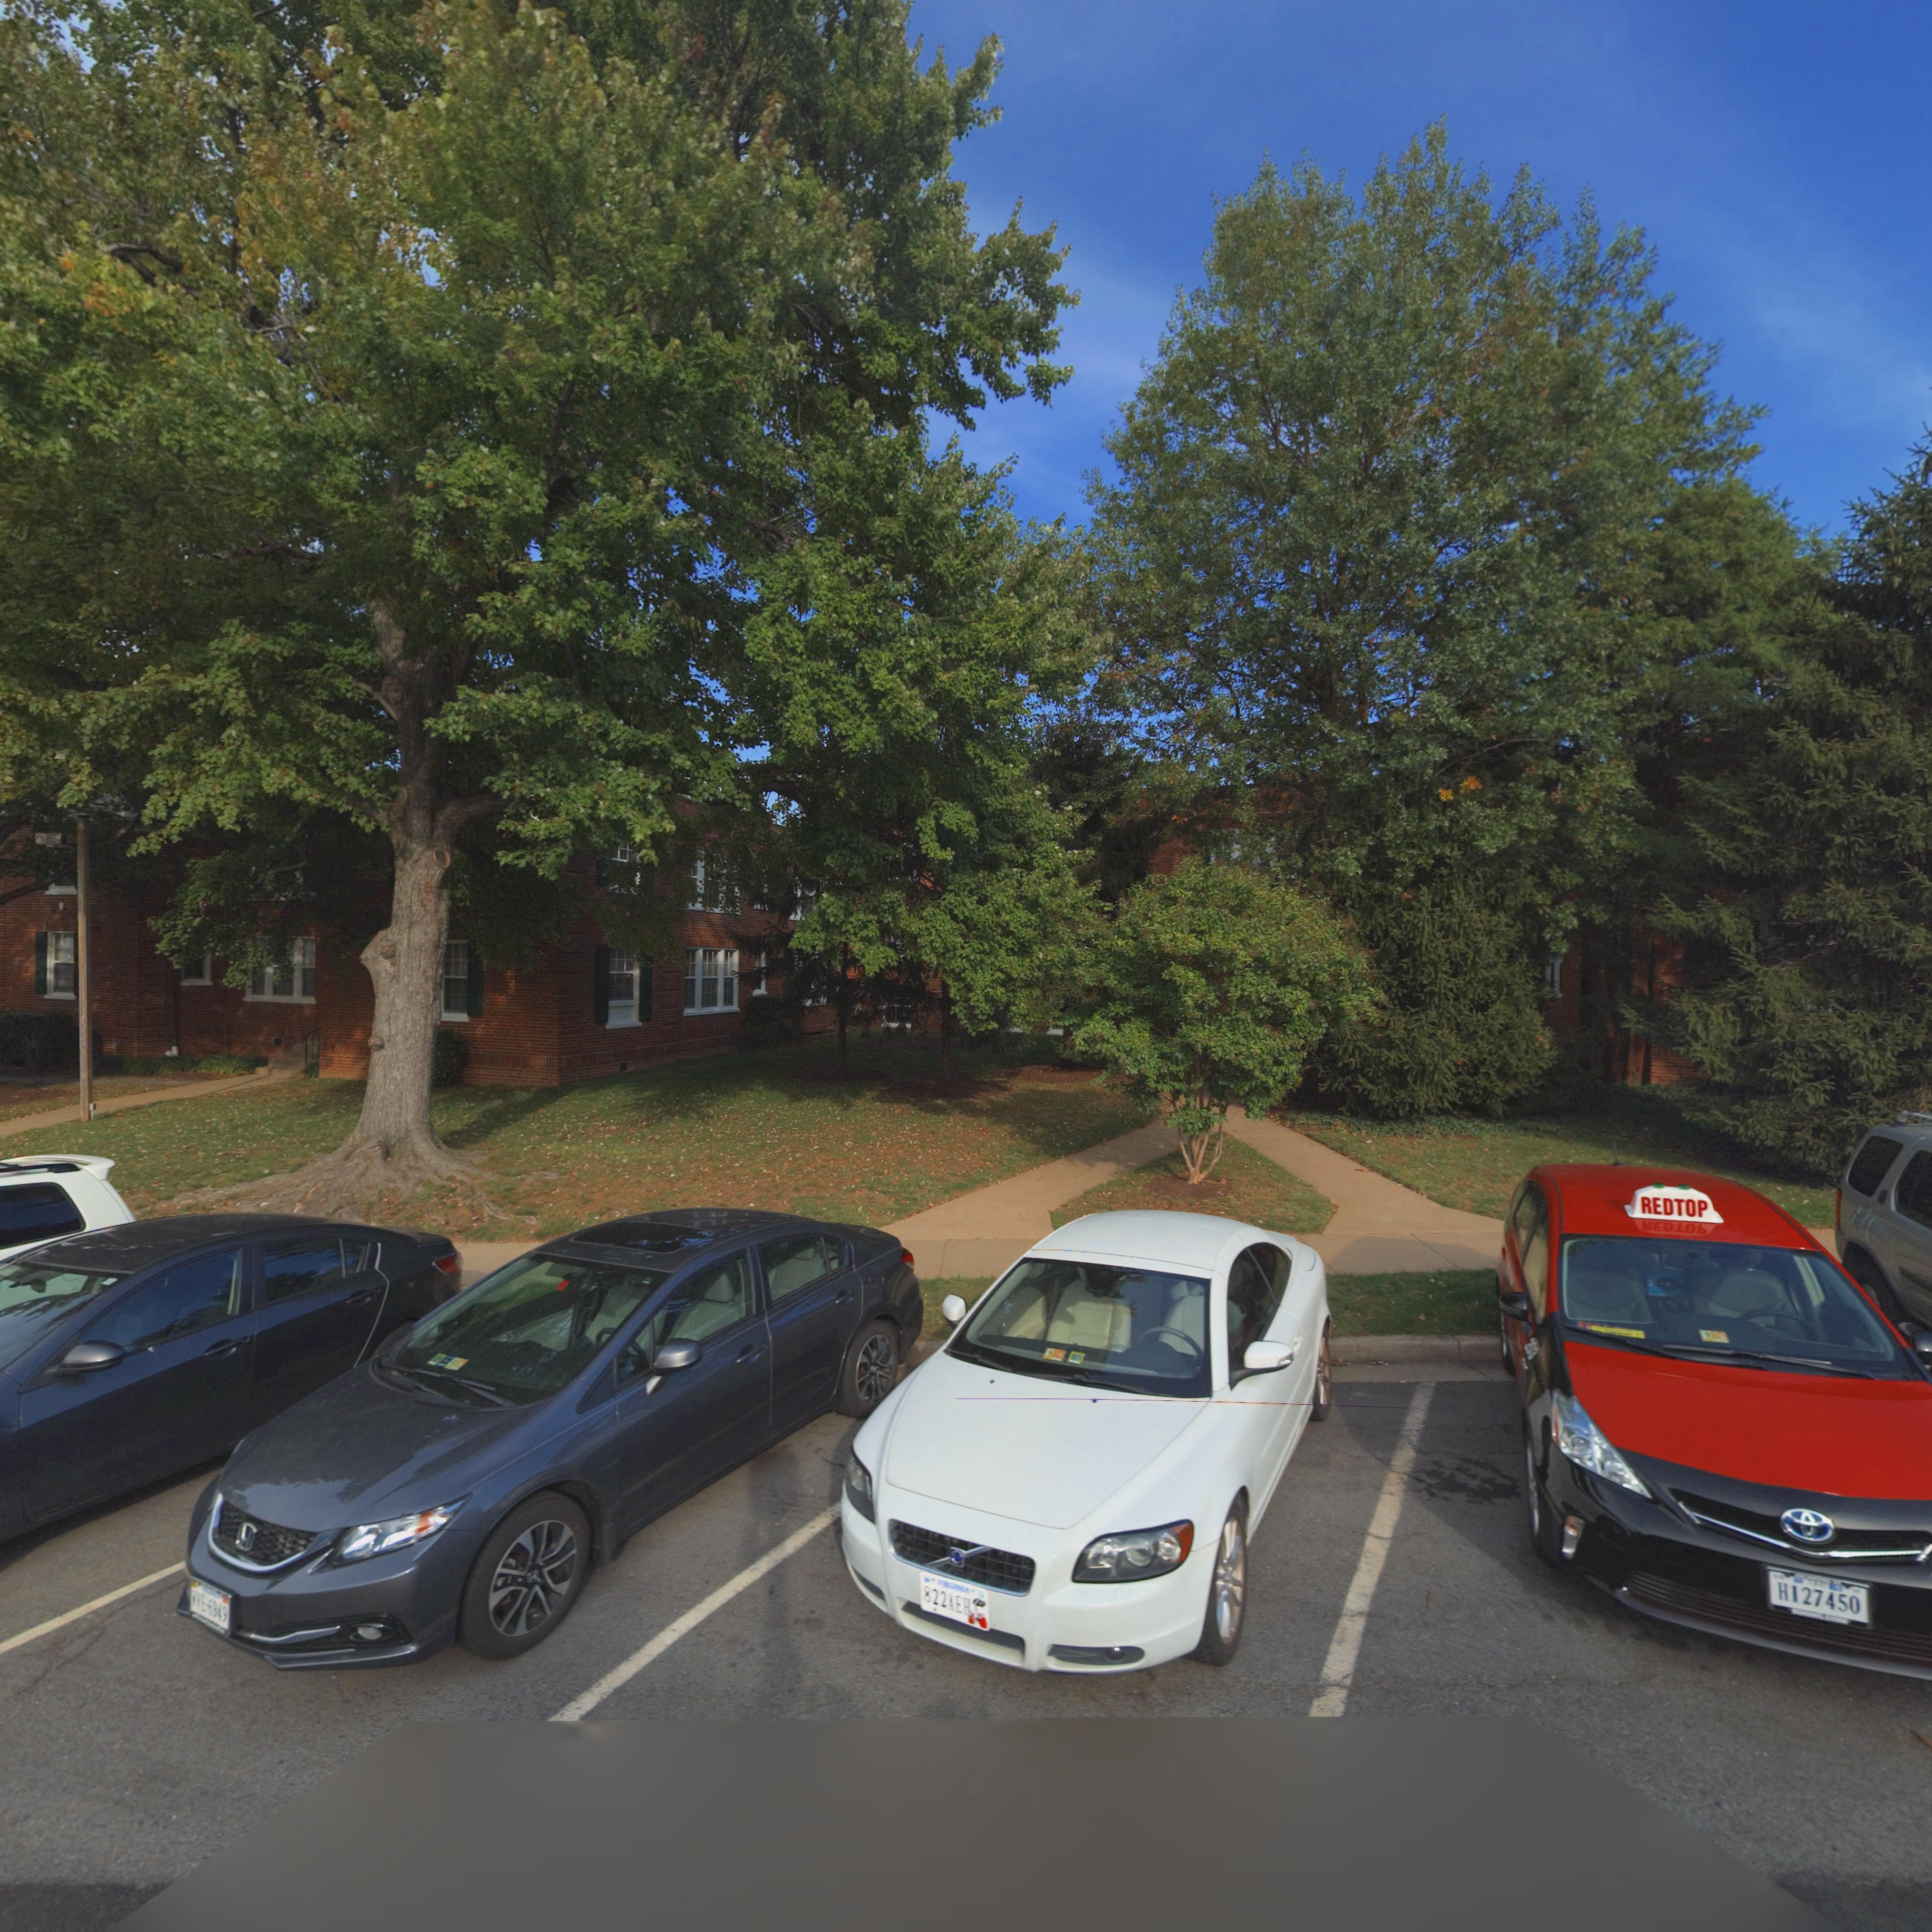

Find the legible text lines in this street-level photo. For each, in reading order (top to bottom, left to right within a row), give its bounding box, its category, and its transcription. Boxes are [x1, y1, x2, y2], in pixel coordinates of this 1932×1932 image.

[1641, 1196, 1708, 1218] None: REDTOP
[1641, 1219, 1708, 1235] None: *ED*O*
[191, 1588, 228, 1624] None: WVE*6949
[923, 1584, 971, 1618] None: 822AEH
[1777, 1581, 1861, 1615] None: H127450